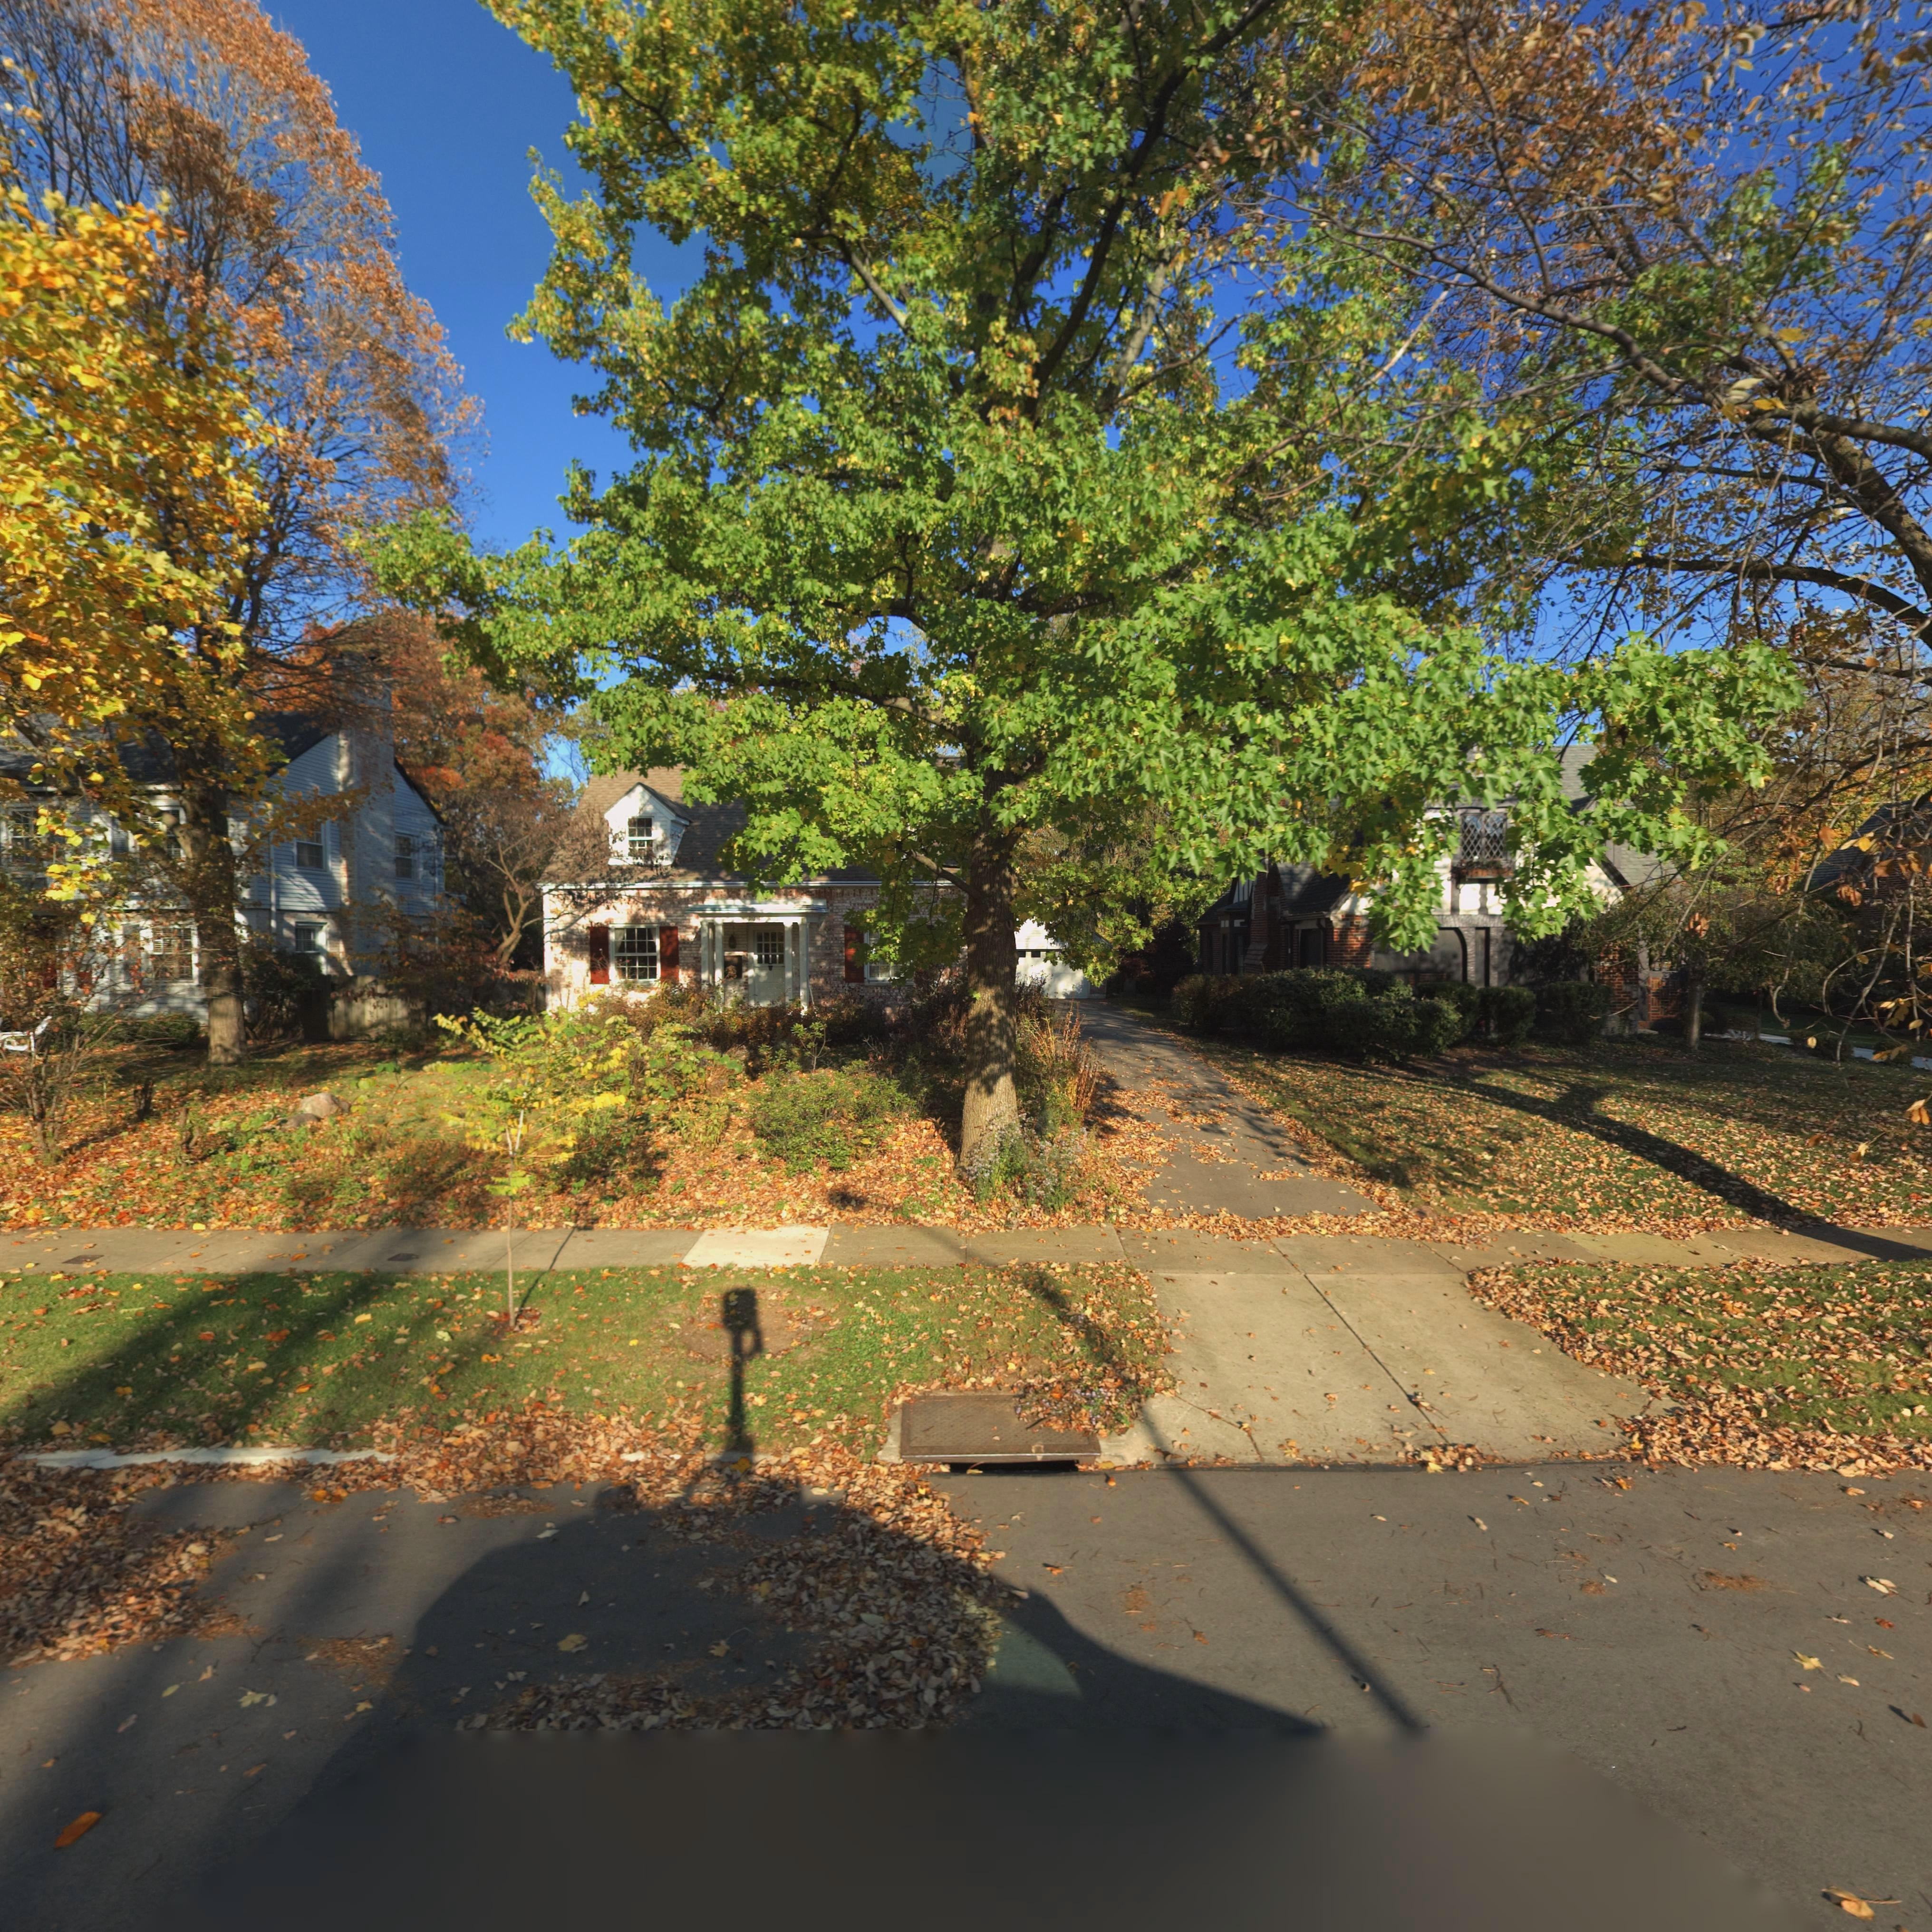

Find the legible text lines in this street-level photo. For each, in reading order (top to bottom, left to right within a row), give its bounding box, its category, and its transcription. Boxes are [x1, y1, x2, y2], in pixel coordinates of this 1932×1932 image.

[746, 915, 761, 923] StreetNumber: 444